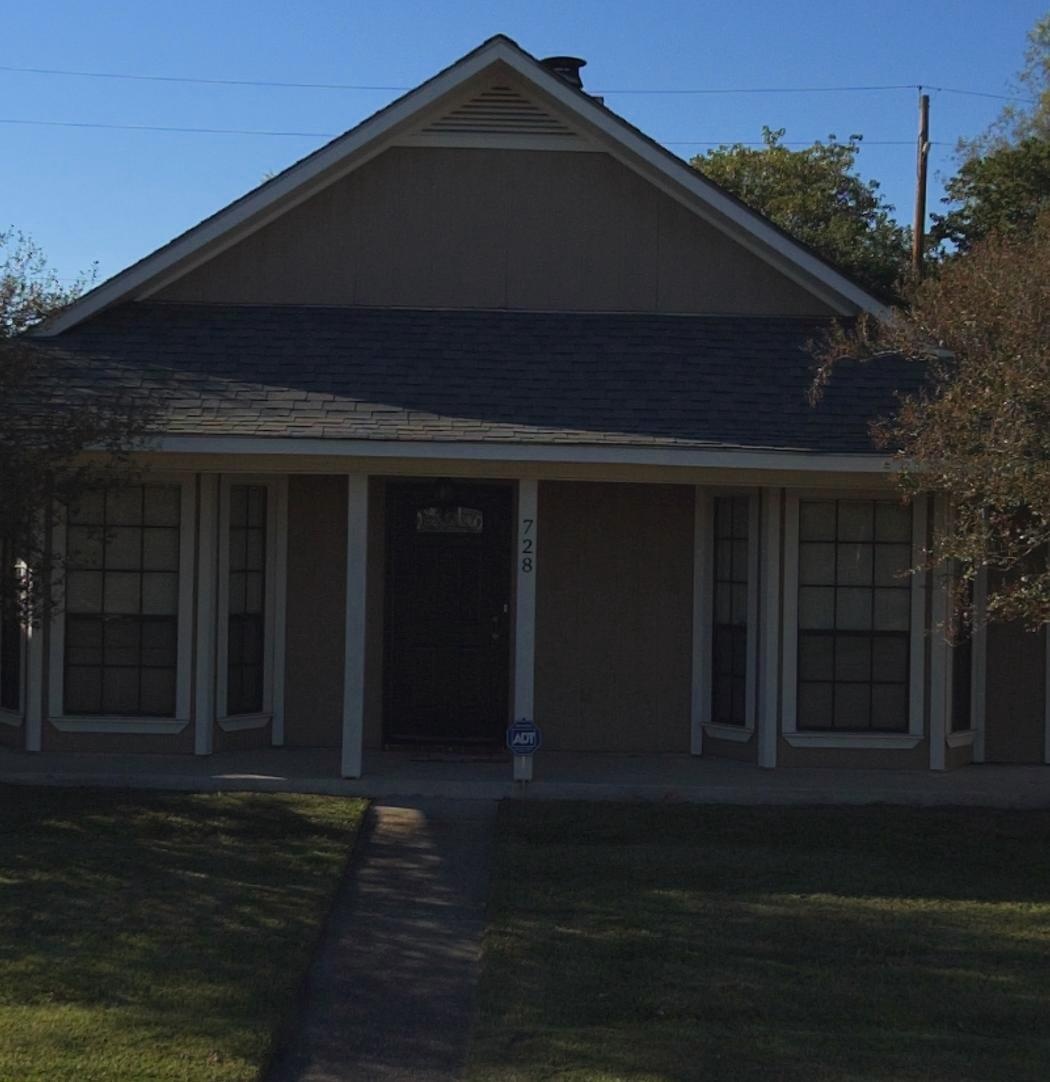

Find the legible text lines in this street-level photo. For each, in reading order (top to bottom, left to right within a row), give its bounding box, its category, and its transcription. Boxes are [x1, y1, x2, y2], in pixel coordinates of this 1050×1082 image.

[521, 519, 534, 574] StreetNumber: 728
[512, 732, 535, 744] None: ADT